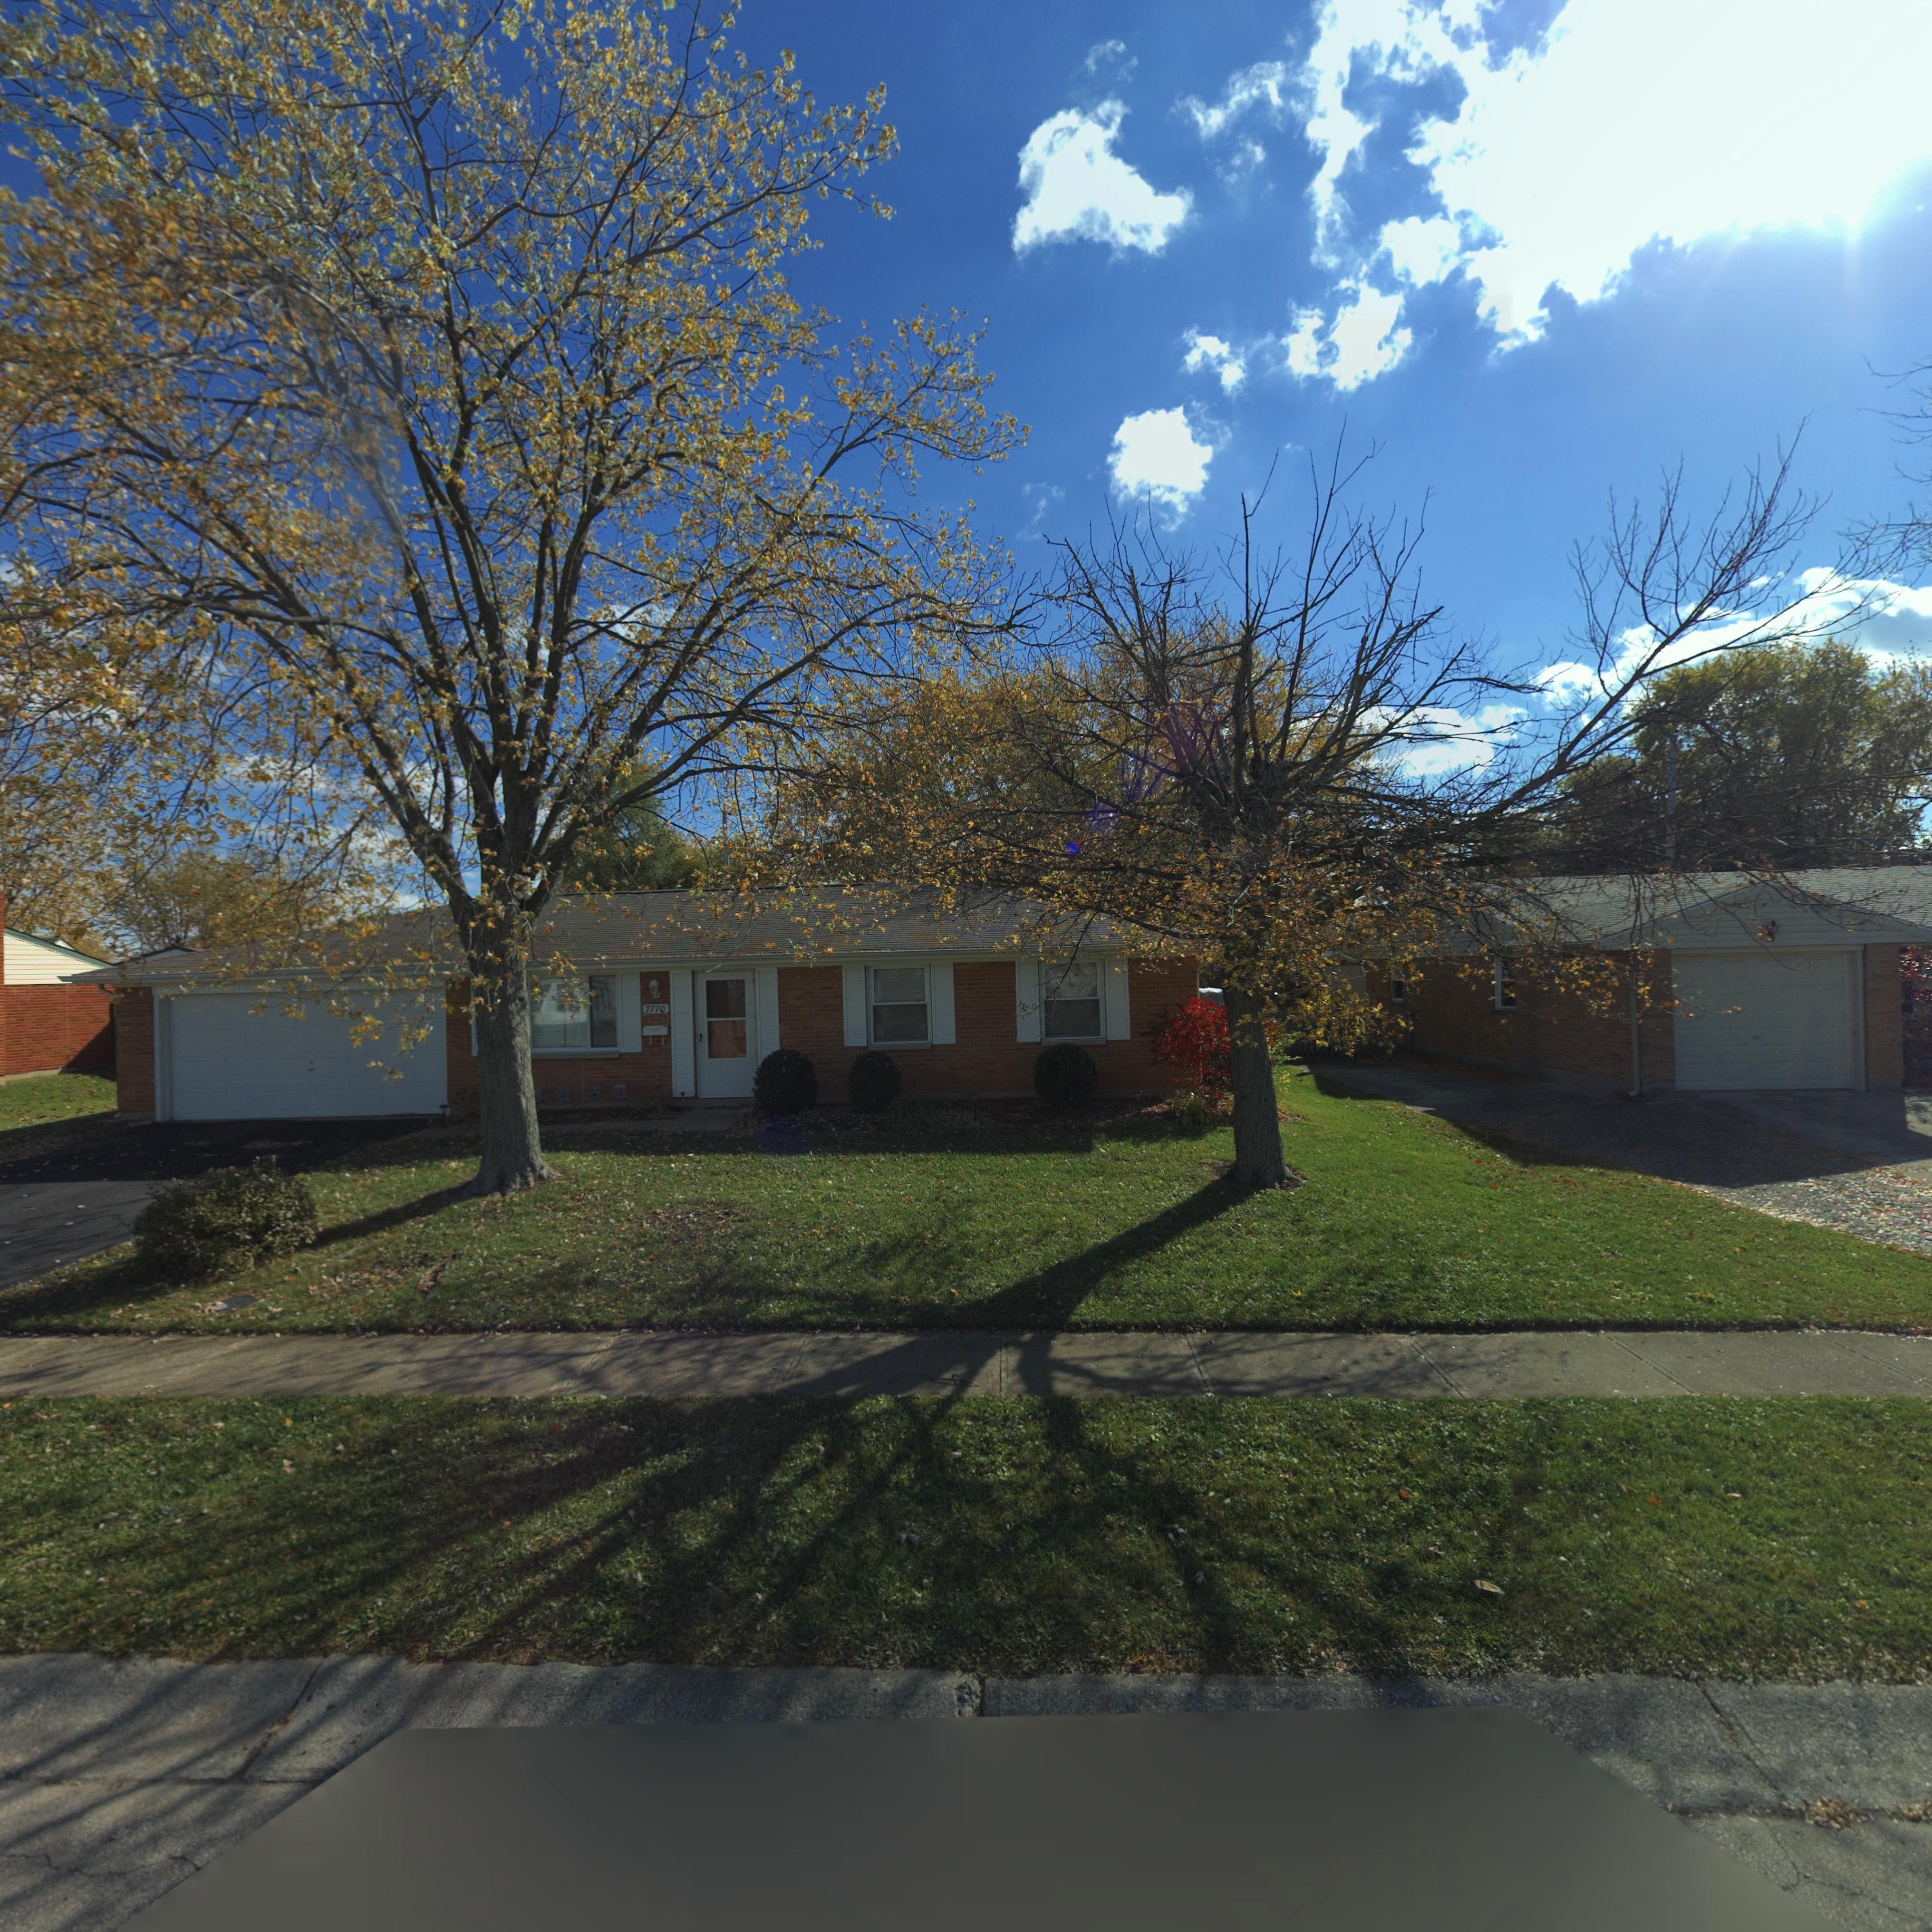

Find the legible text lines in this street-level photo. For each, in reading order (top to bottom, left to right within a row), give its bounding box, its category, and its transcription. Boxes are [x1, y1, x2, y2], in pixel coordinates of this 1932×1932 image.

[645, 1005, 666, 1013] StreetNumber: 7770